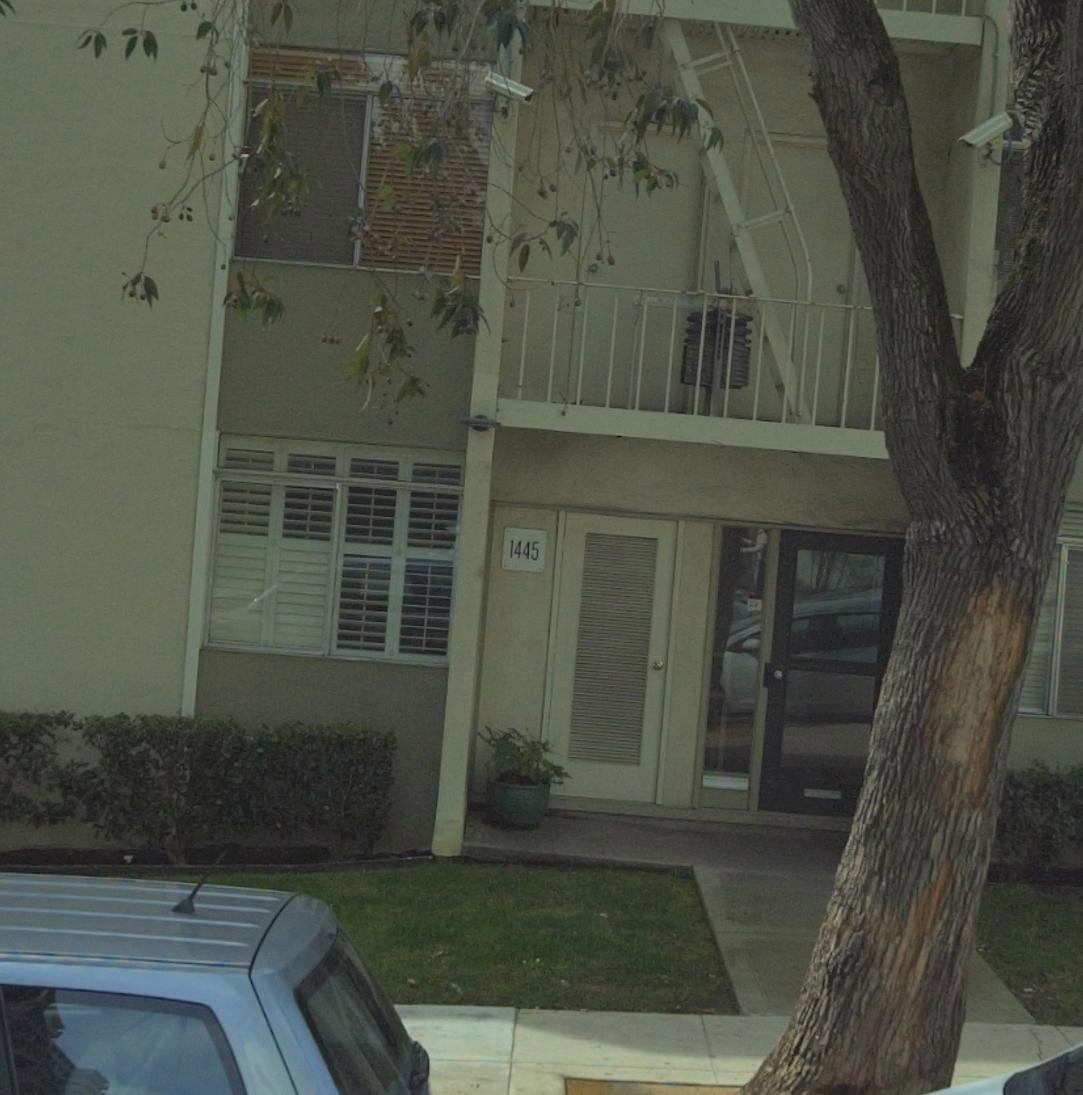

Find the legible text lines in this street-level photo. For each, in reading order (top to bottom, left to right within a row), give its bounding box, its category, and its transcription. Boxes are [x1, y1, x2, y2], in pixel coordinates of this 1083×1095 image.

[507, 537, 542, 564] StreetNumber: 1445